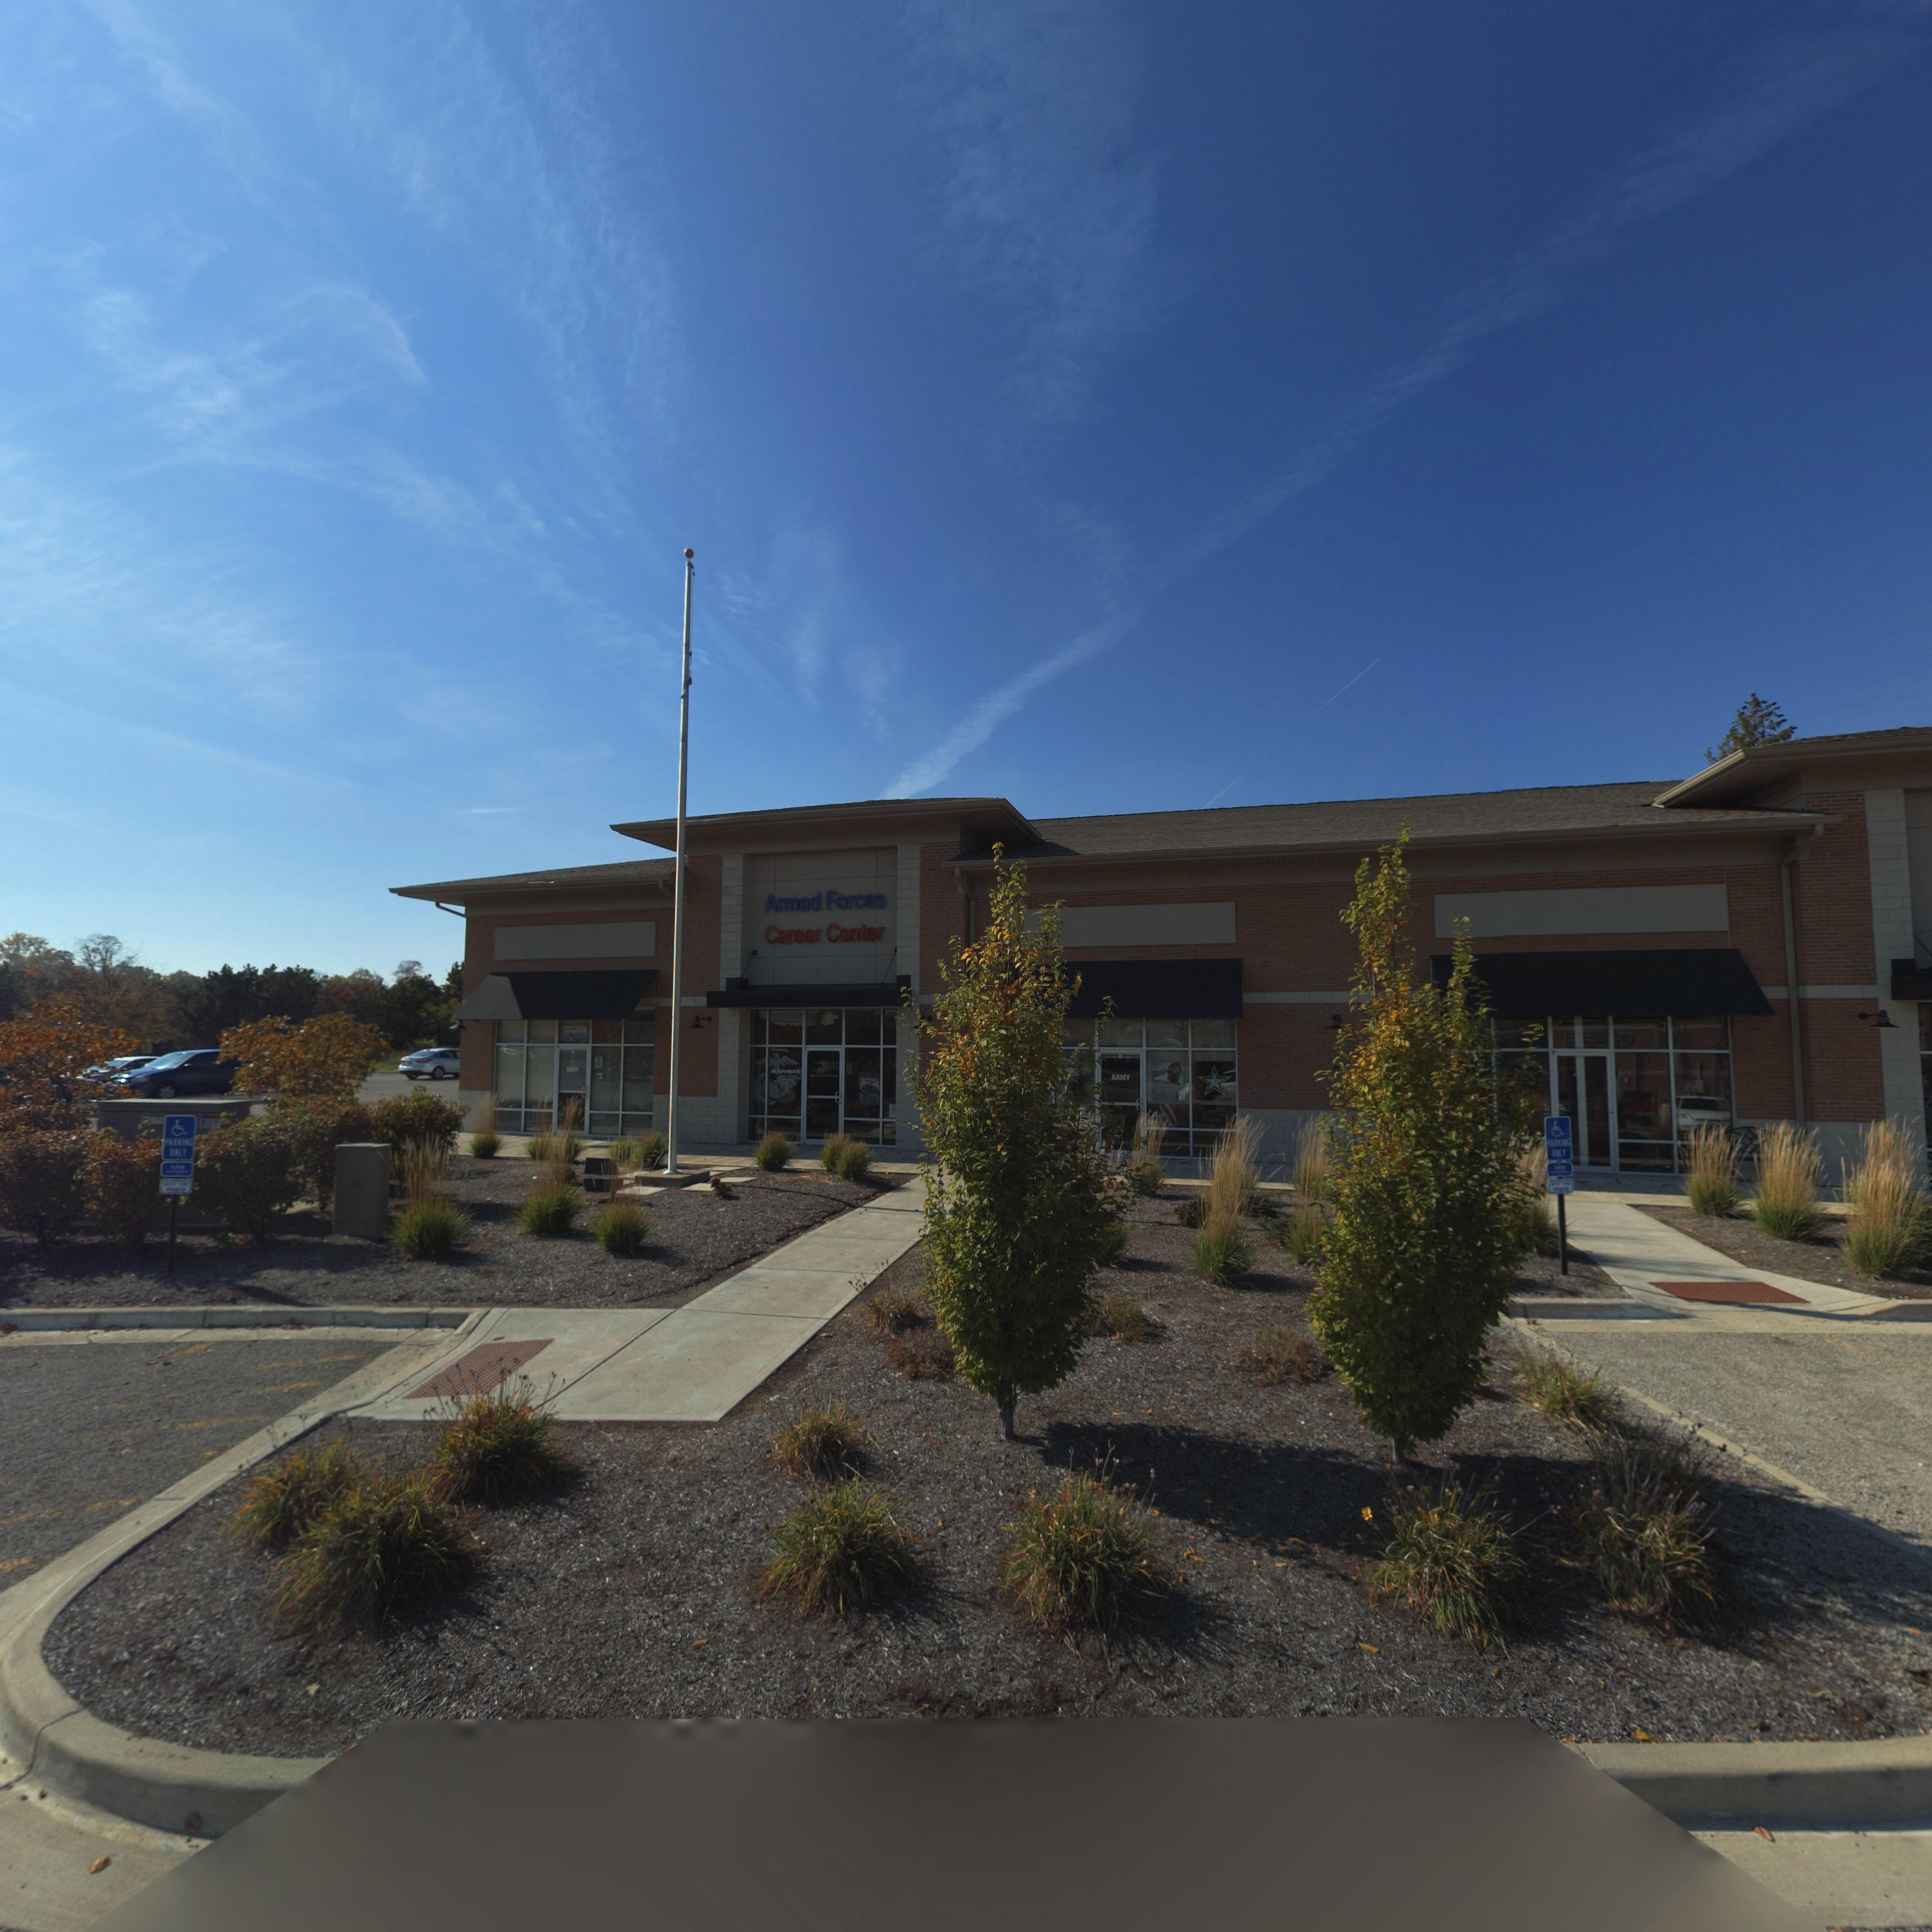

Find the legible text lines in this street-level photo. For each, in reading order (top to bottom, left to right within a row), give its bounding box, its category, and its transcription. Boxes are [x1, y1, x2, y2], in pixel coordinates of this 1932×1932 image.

[762, 889, 888, 914] BusinessName: Armed Forces
[763, 922, 886, 946] BusinessName: Career Center